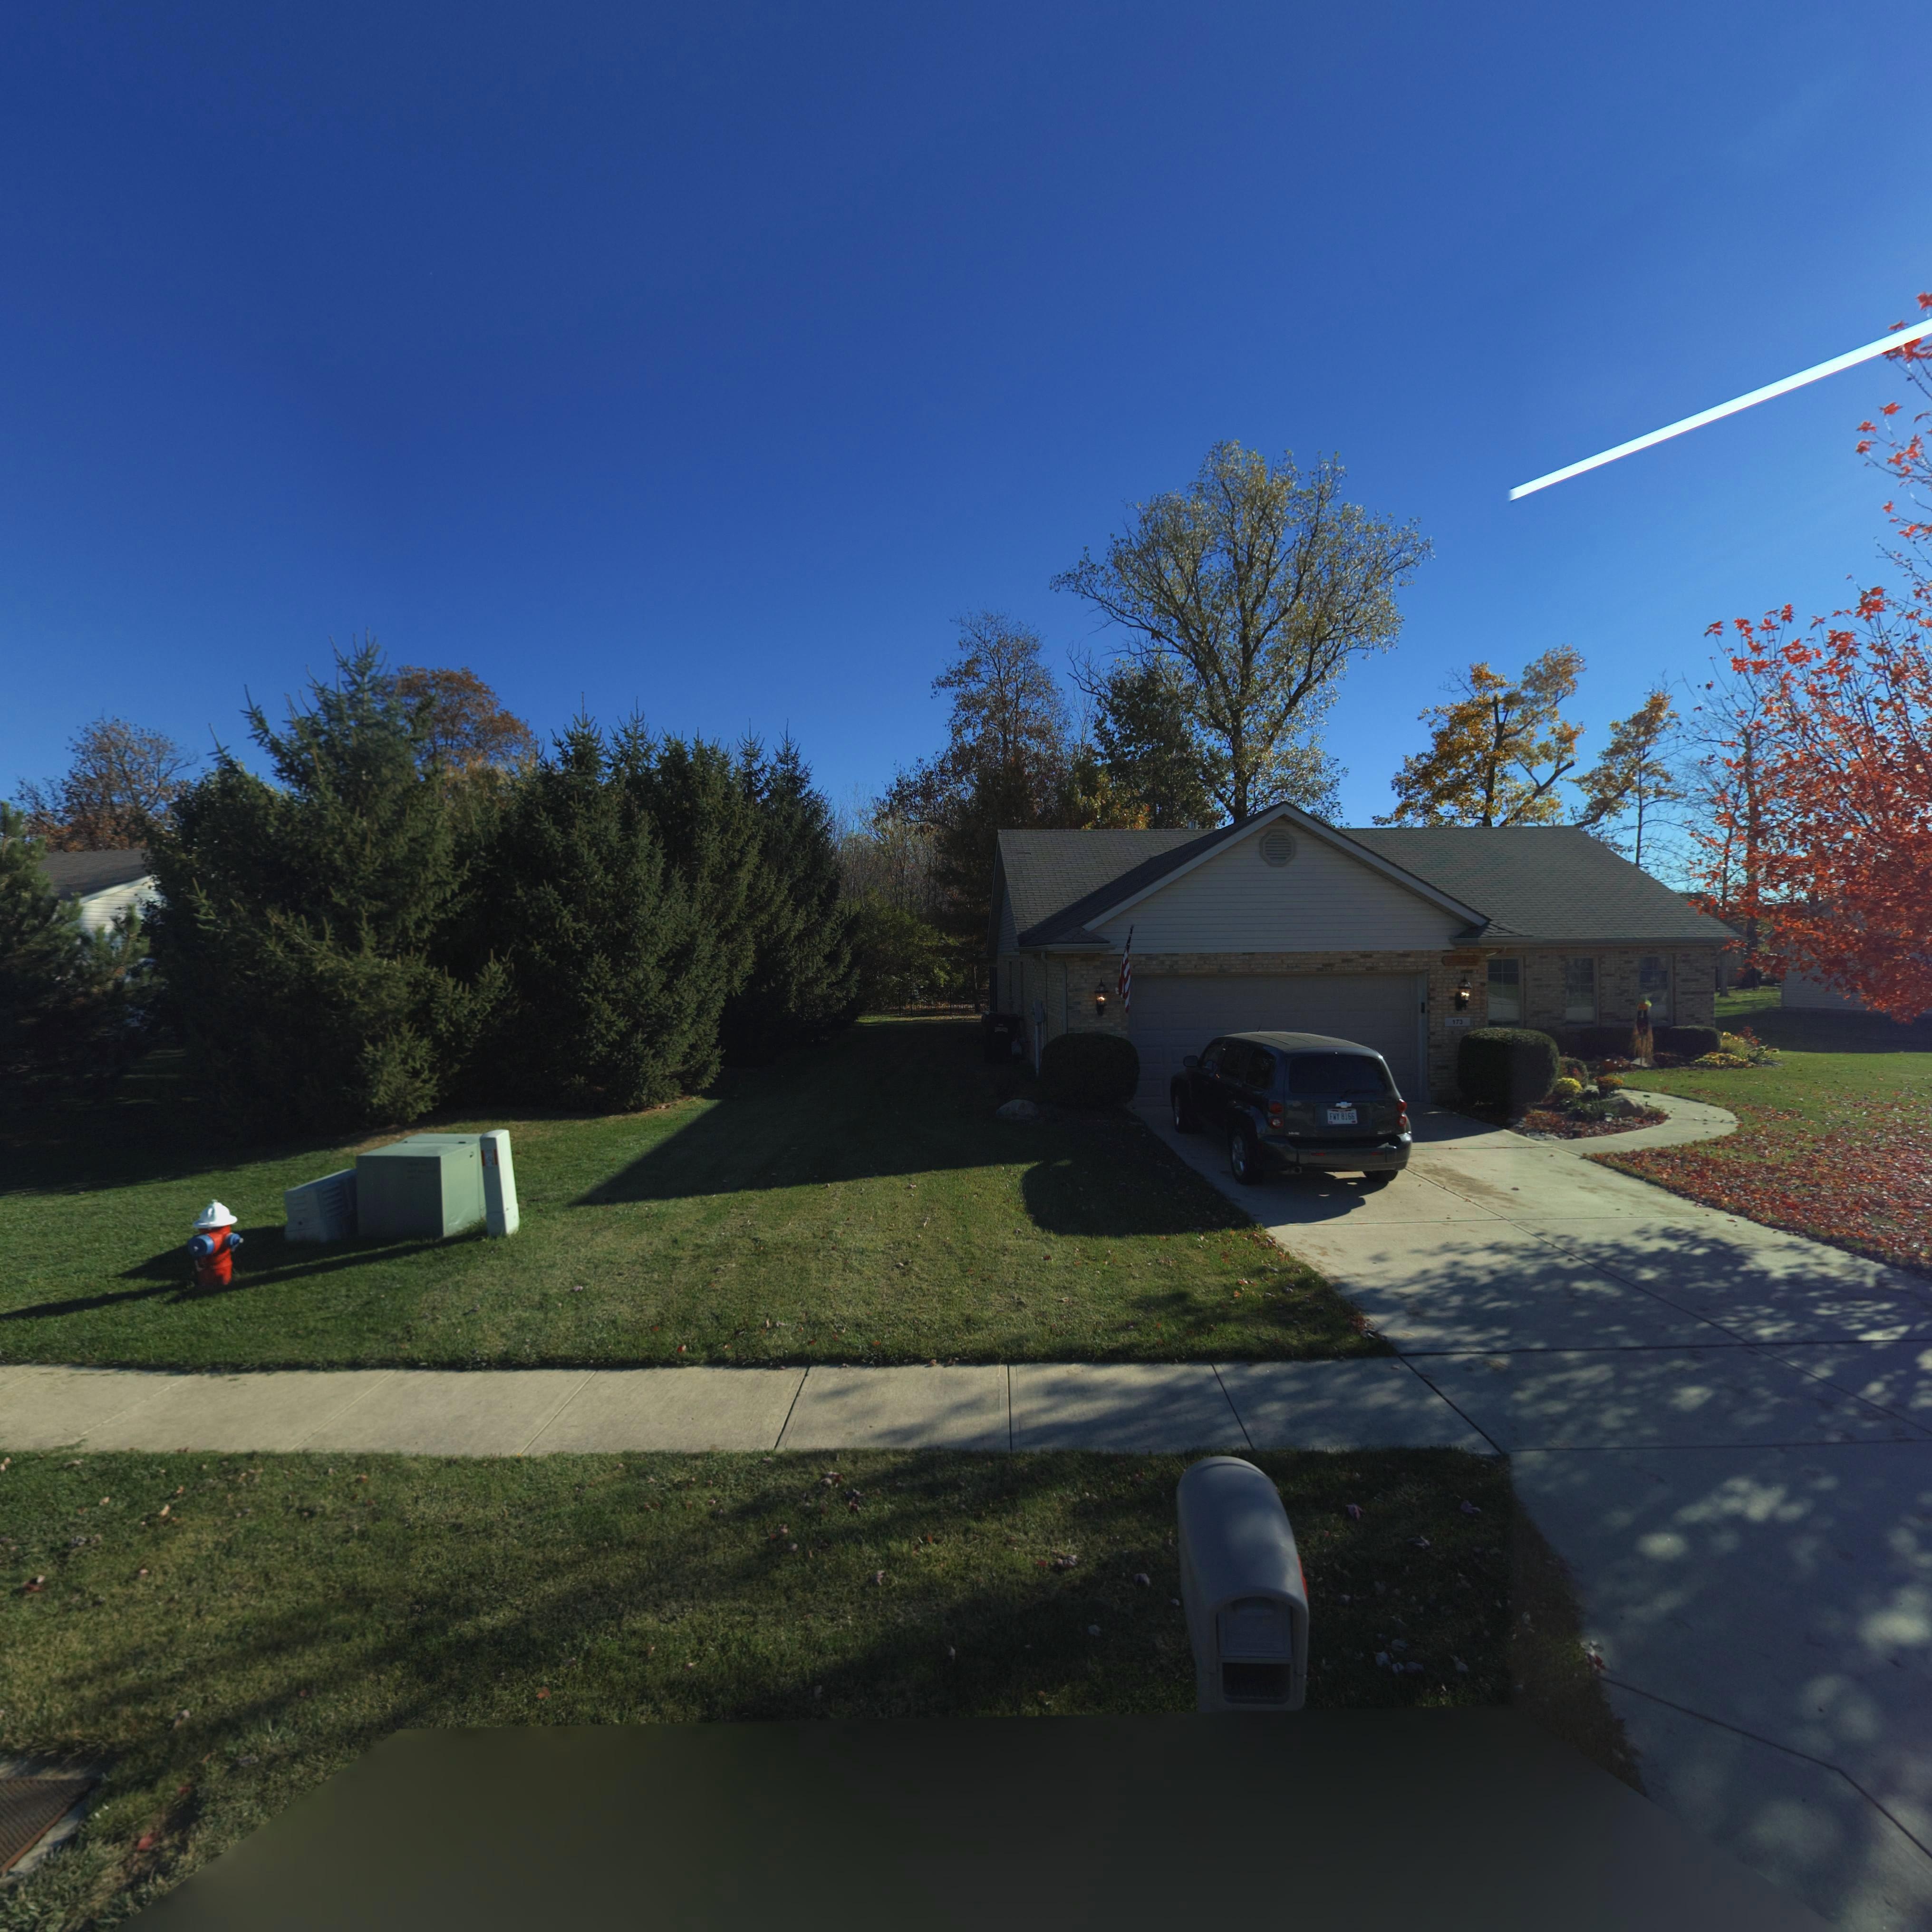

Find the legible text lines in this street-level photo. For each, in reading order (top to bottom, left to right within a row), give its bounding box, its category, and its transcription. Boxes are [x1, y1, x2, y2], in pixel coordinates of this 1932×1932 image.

[1452, 1018, 1464, 1025] StreetNumber: 173